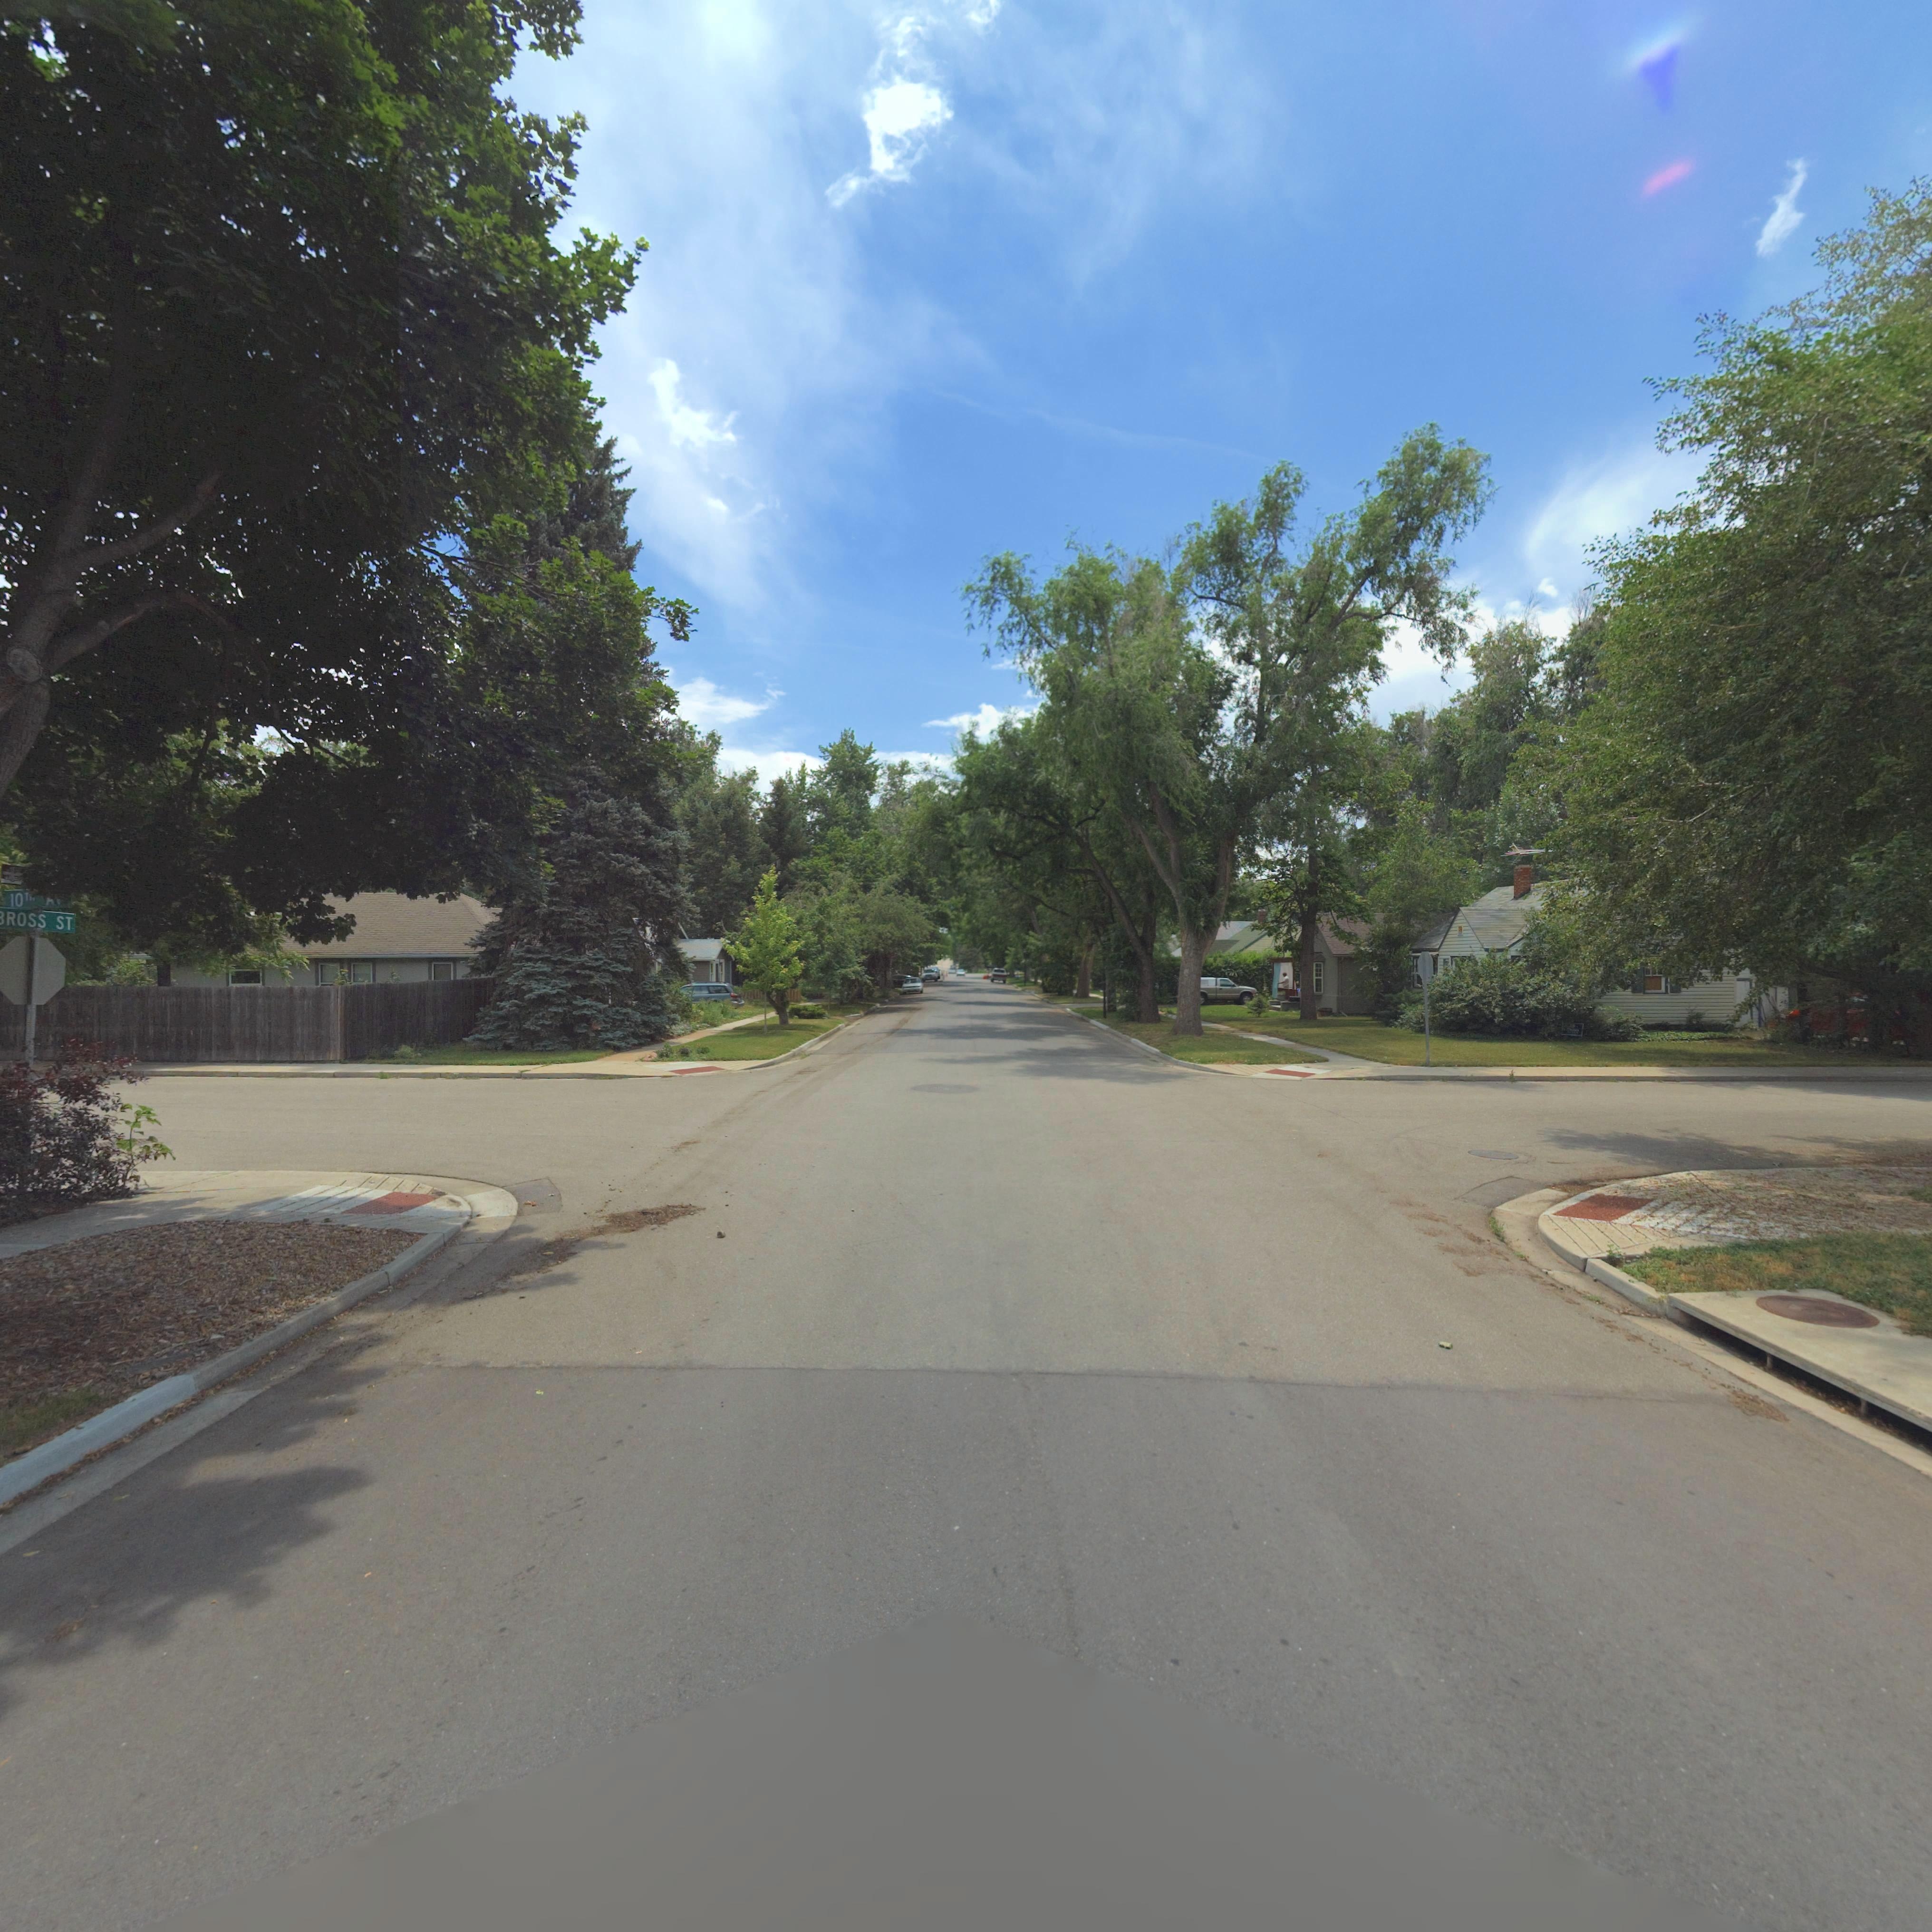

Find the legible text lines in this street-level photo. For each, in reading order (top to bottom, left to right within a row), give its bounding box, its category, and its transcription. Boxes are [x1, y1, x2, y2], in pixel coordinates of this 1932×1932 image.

[9, 889, 64, 908] StreetName: 10T* **
[6, 910, 74, 930] StreetName: ROSS ST